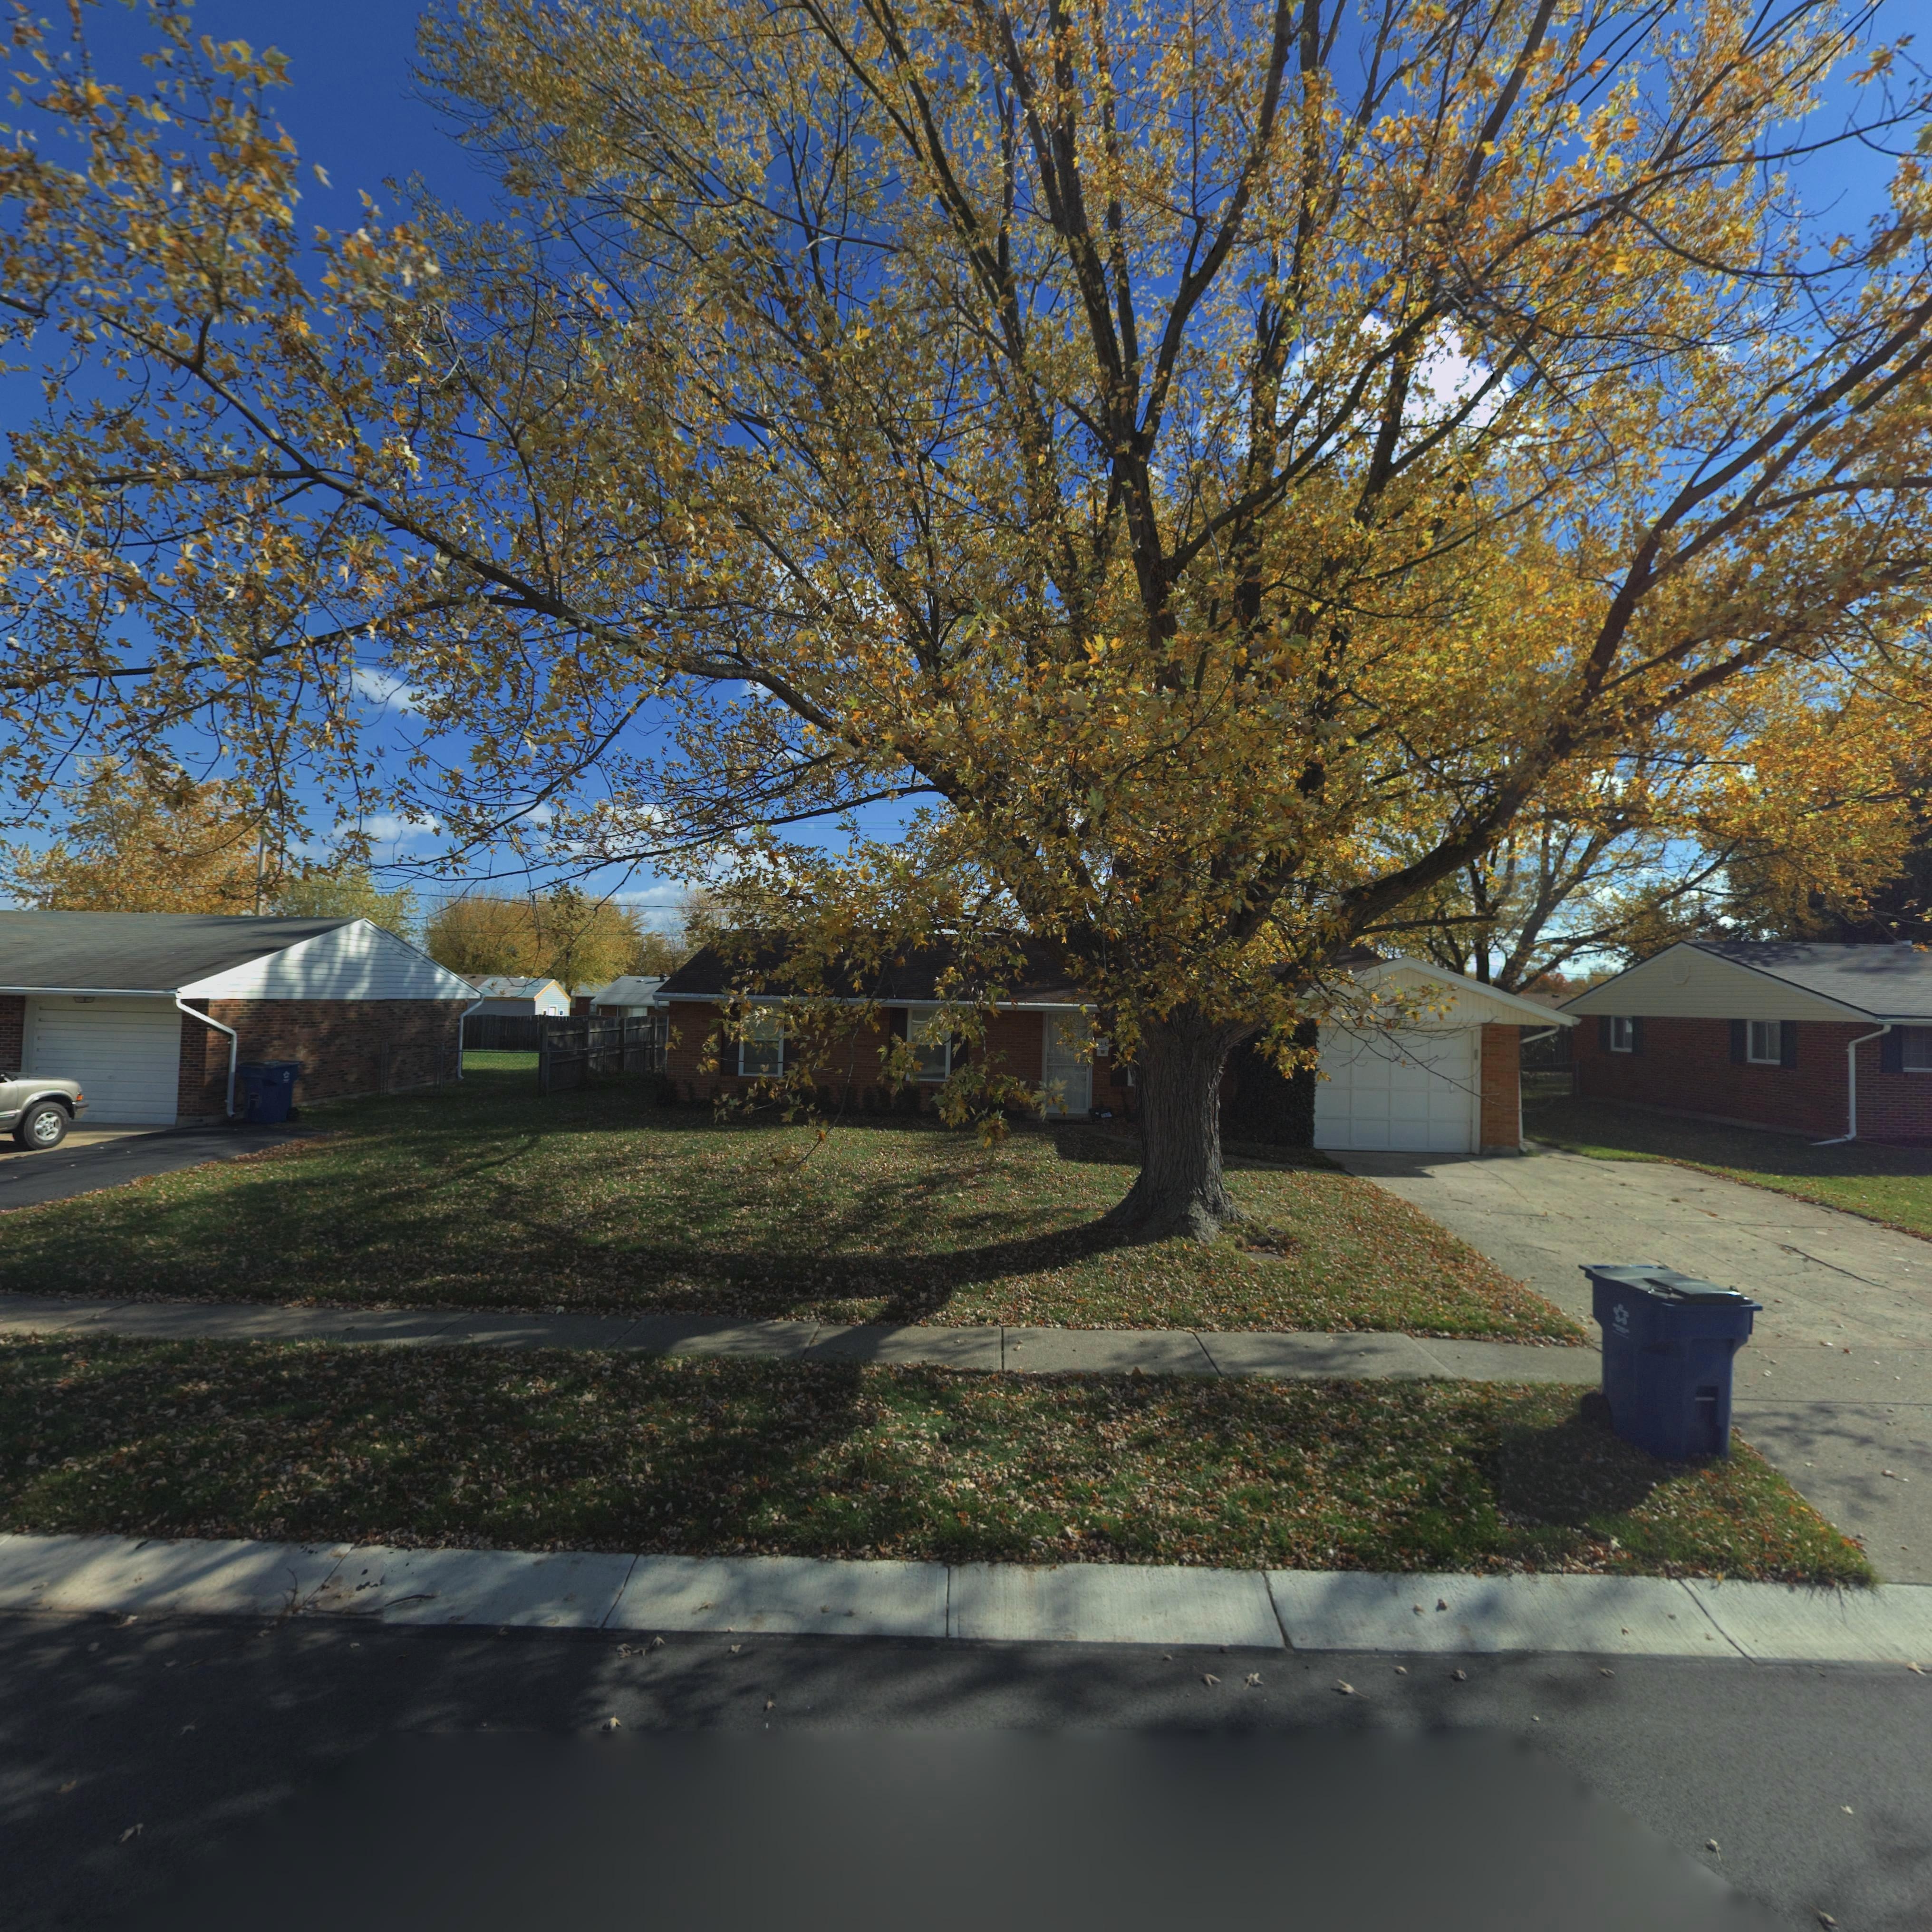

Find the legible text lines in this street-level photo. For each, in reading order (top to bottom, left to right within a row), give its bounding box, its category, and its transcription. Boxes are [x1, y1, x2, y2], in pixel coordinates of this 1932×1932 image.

[1391, 1019, 1408, 1028] StreetNumber: **2